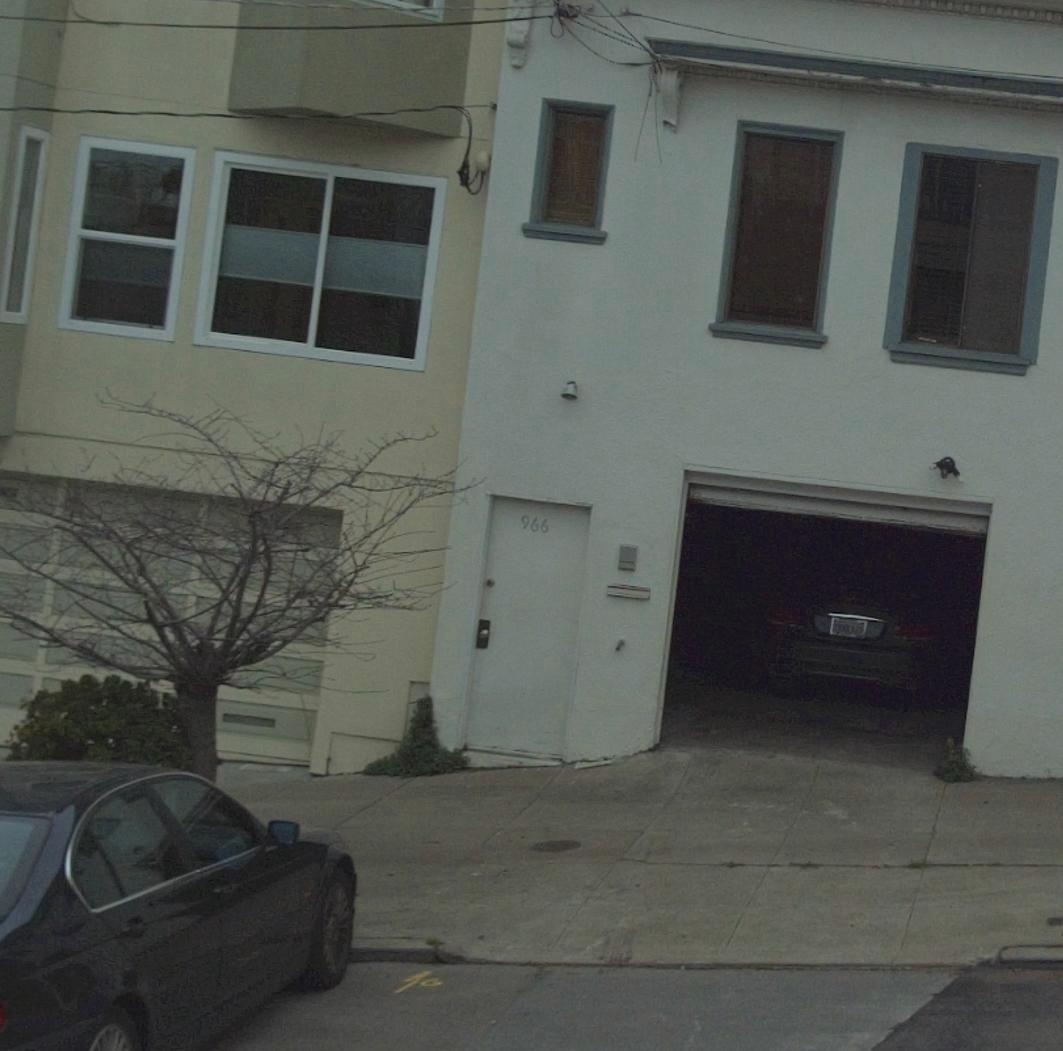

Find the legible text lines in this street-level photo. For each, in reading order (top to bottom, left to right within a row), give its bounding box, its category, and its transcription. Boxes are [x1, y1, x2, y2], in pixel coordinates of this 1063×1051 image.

[521, 514, 549, 534] StreetNumber: 966